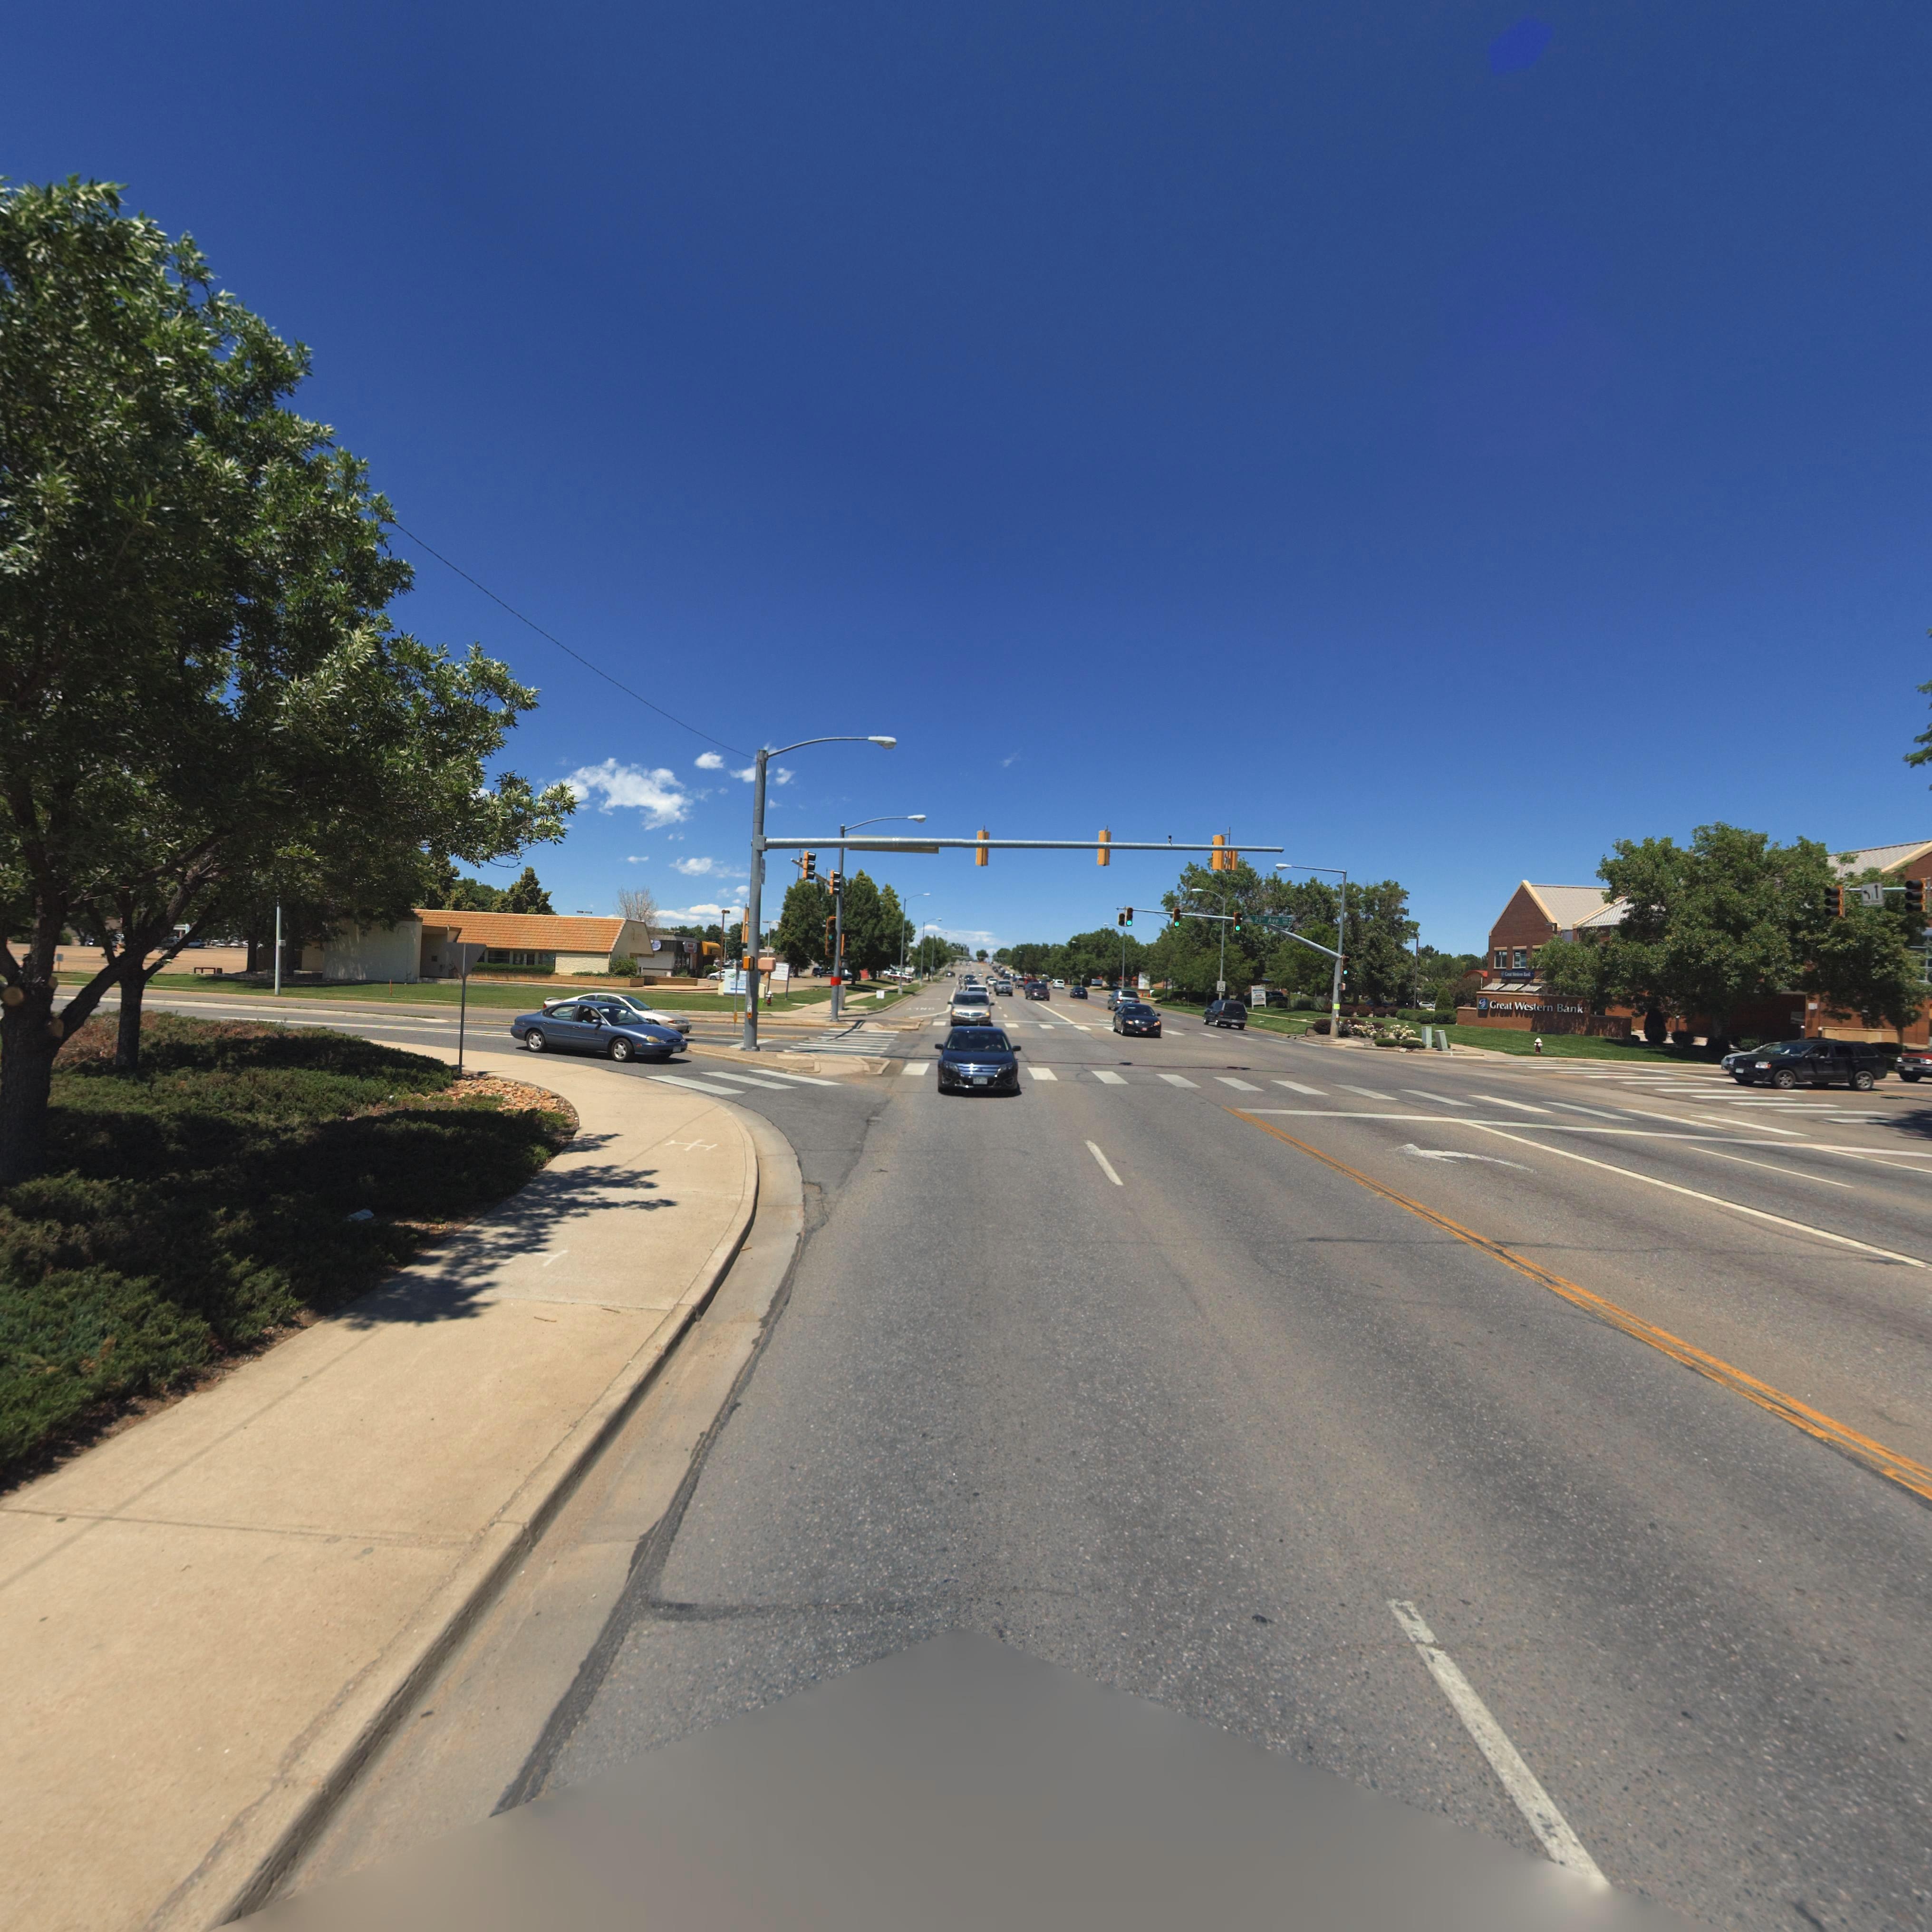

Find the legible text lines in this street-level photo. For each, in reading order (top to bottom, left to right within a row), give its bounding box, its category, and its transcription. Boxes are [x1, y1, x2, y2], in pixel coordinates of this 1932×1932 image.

[1254, 916, 1279, 923] StreetName: 21st Ave
[1282, 921, 1291, 924] StreetNumberRange: **0  >
[1505, 971, 1531, 976] BusinessName: G**** ******* B**k
[1489, 1000, 1584, 1014] BusinessName: Great Western Bank